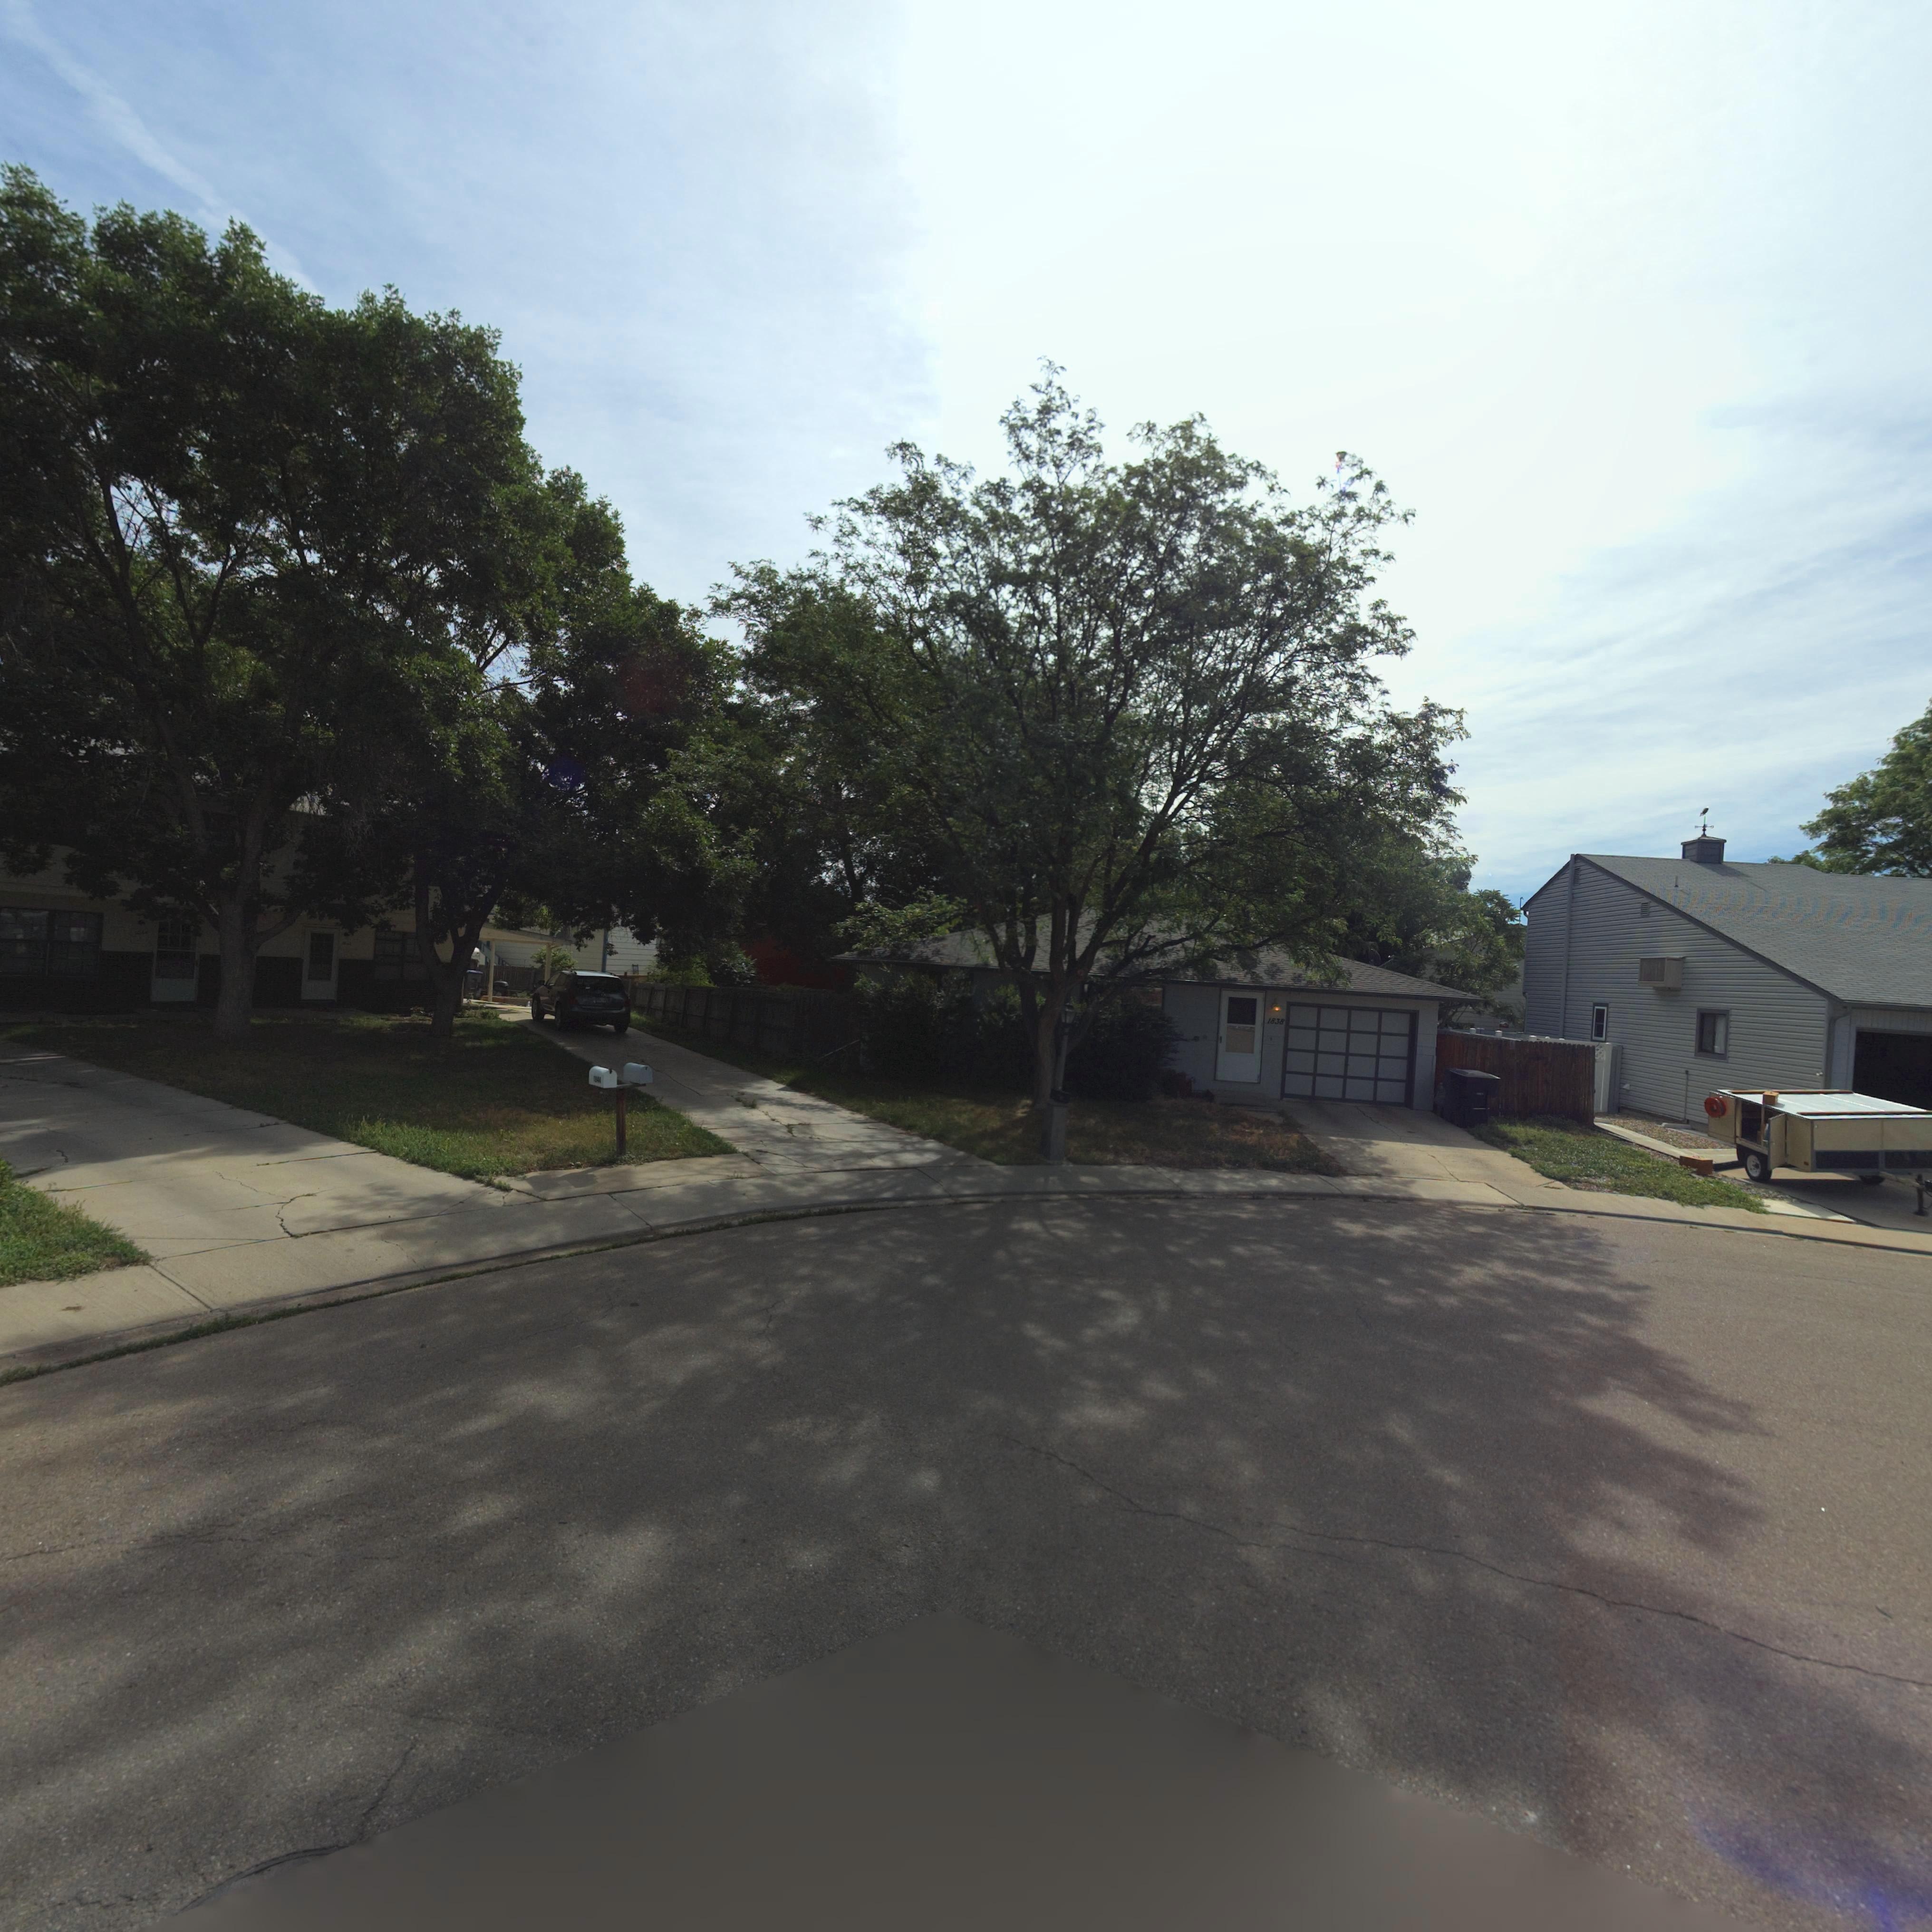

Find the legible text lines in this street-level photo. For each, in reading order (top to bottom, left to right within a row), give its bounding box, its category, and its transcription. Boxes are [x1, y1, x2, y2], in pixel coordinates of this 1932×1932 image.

[1266, 1017, 1285, 1024] StreetNumber: 1838
[593, 1075, 602, 1084] StreetNumber: 1***